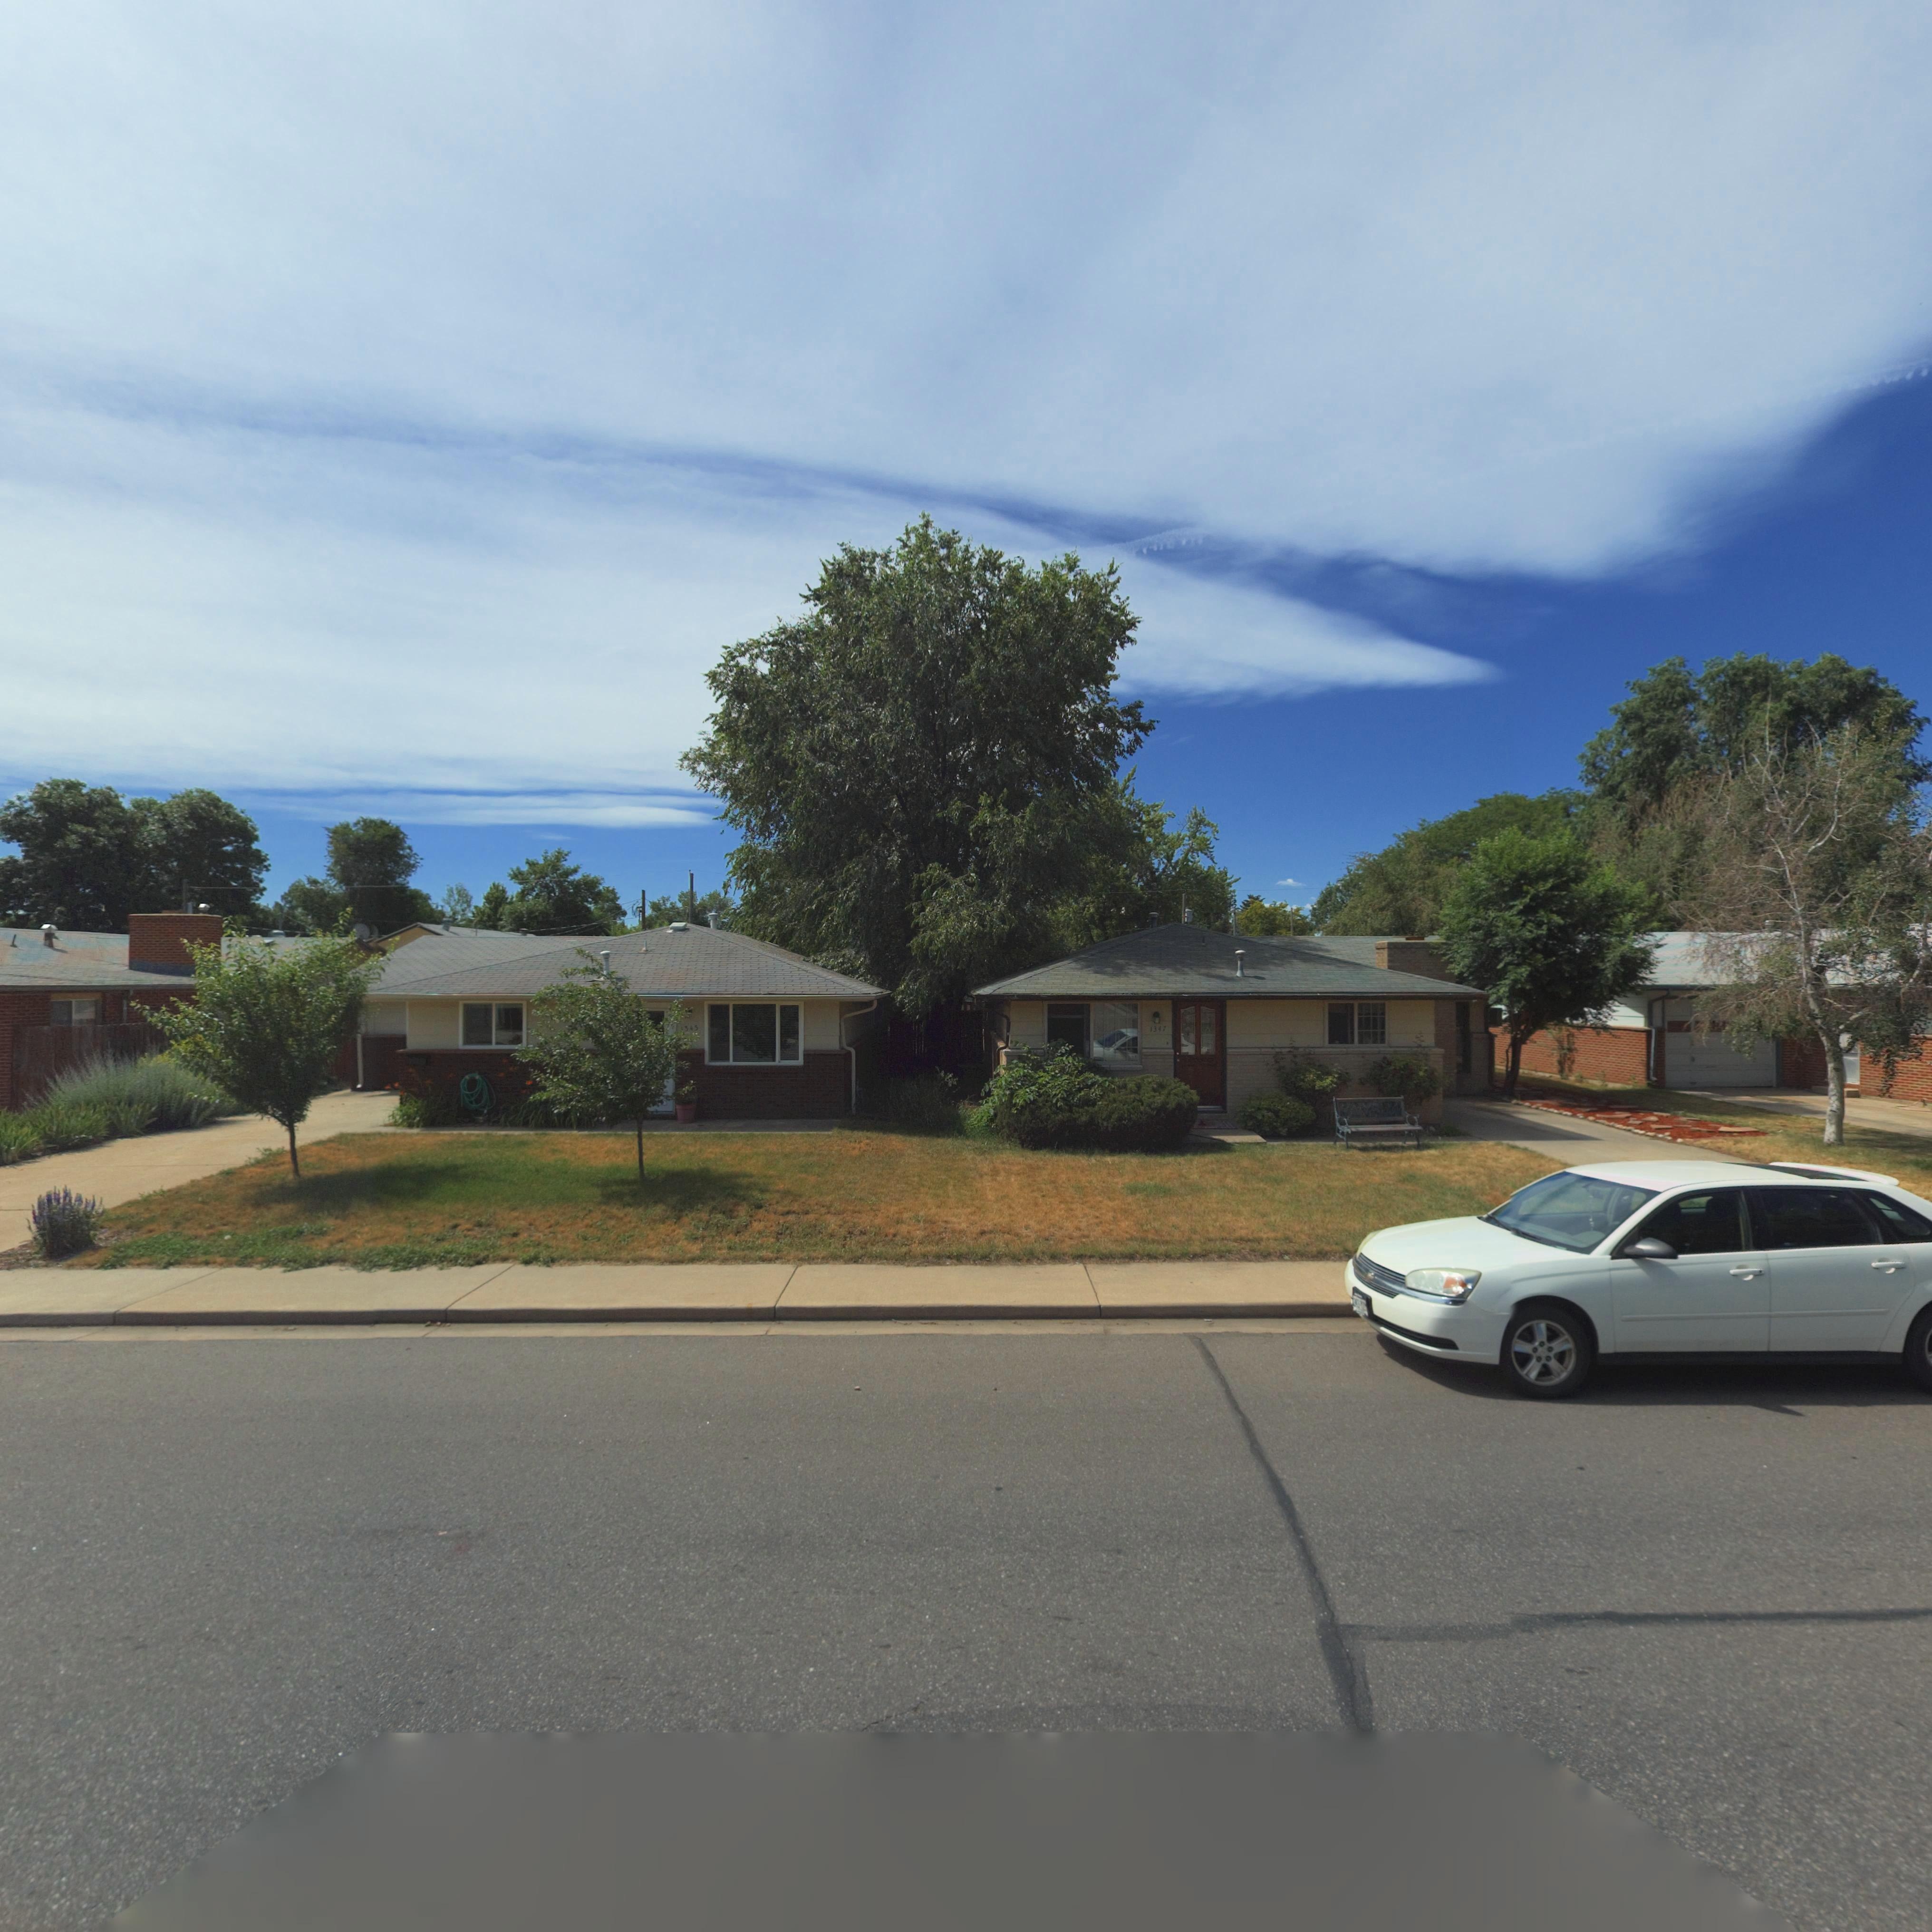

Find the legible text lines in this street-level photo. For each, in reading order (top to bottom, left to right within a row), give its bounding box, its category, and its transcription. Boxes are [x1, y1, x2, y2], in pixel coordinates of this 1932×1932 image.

[680, 1024, 698, 1033] StreetNumber: 1343
[1150, 1025, 1167, 1032] StreetNumber: 1347